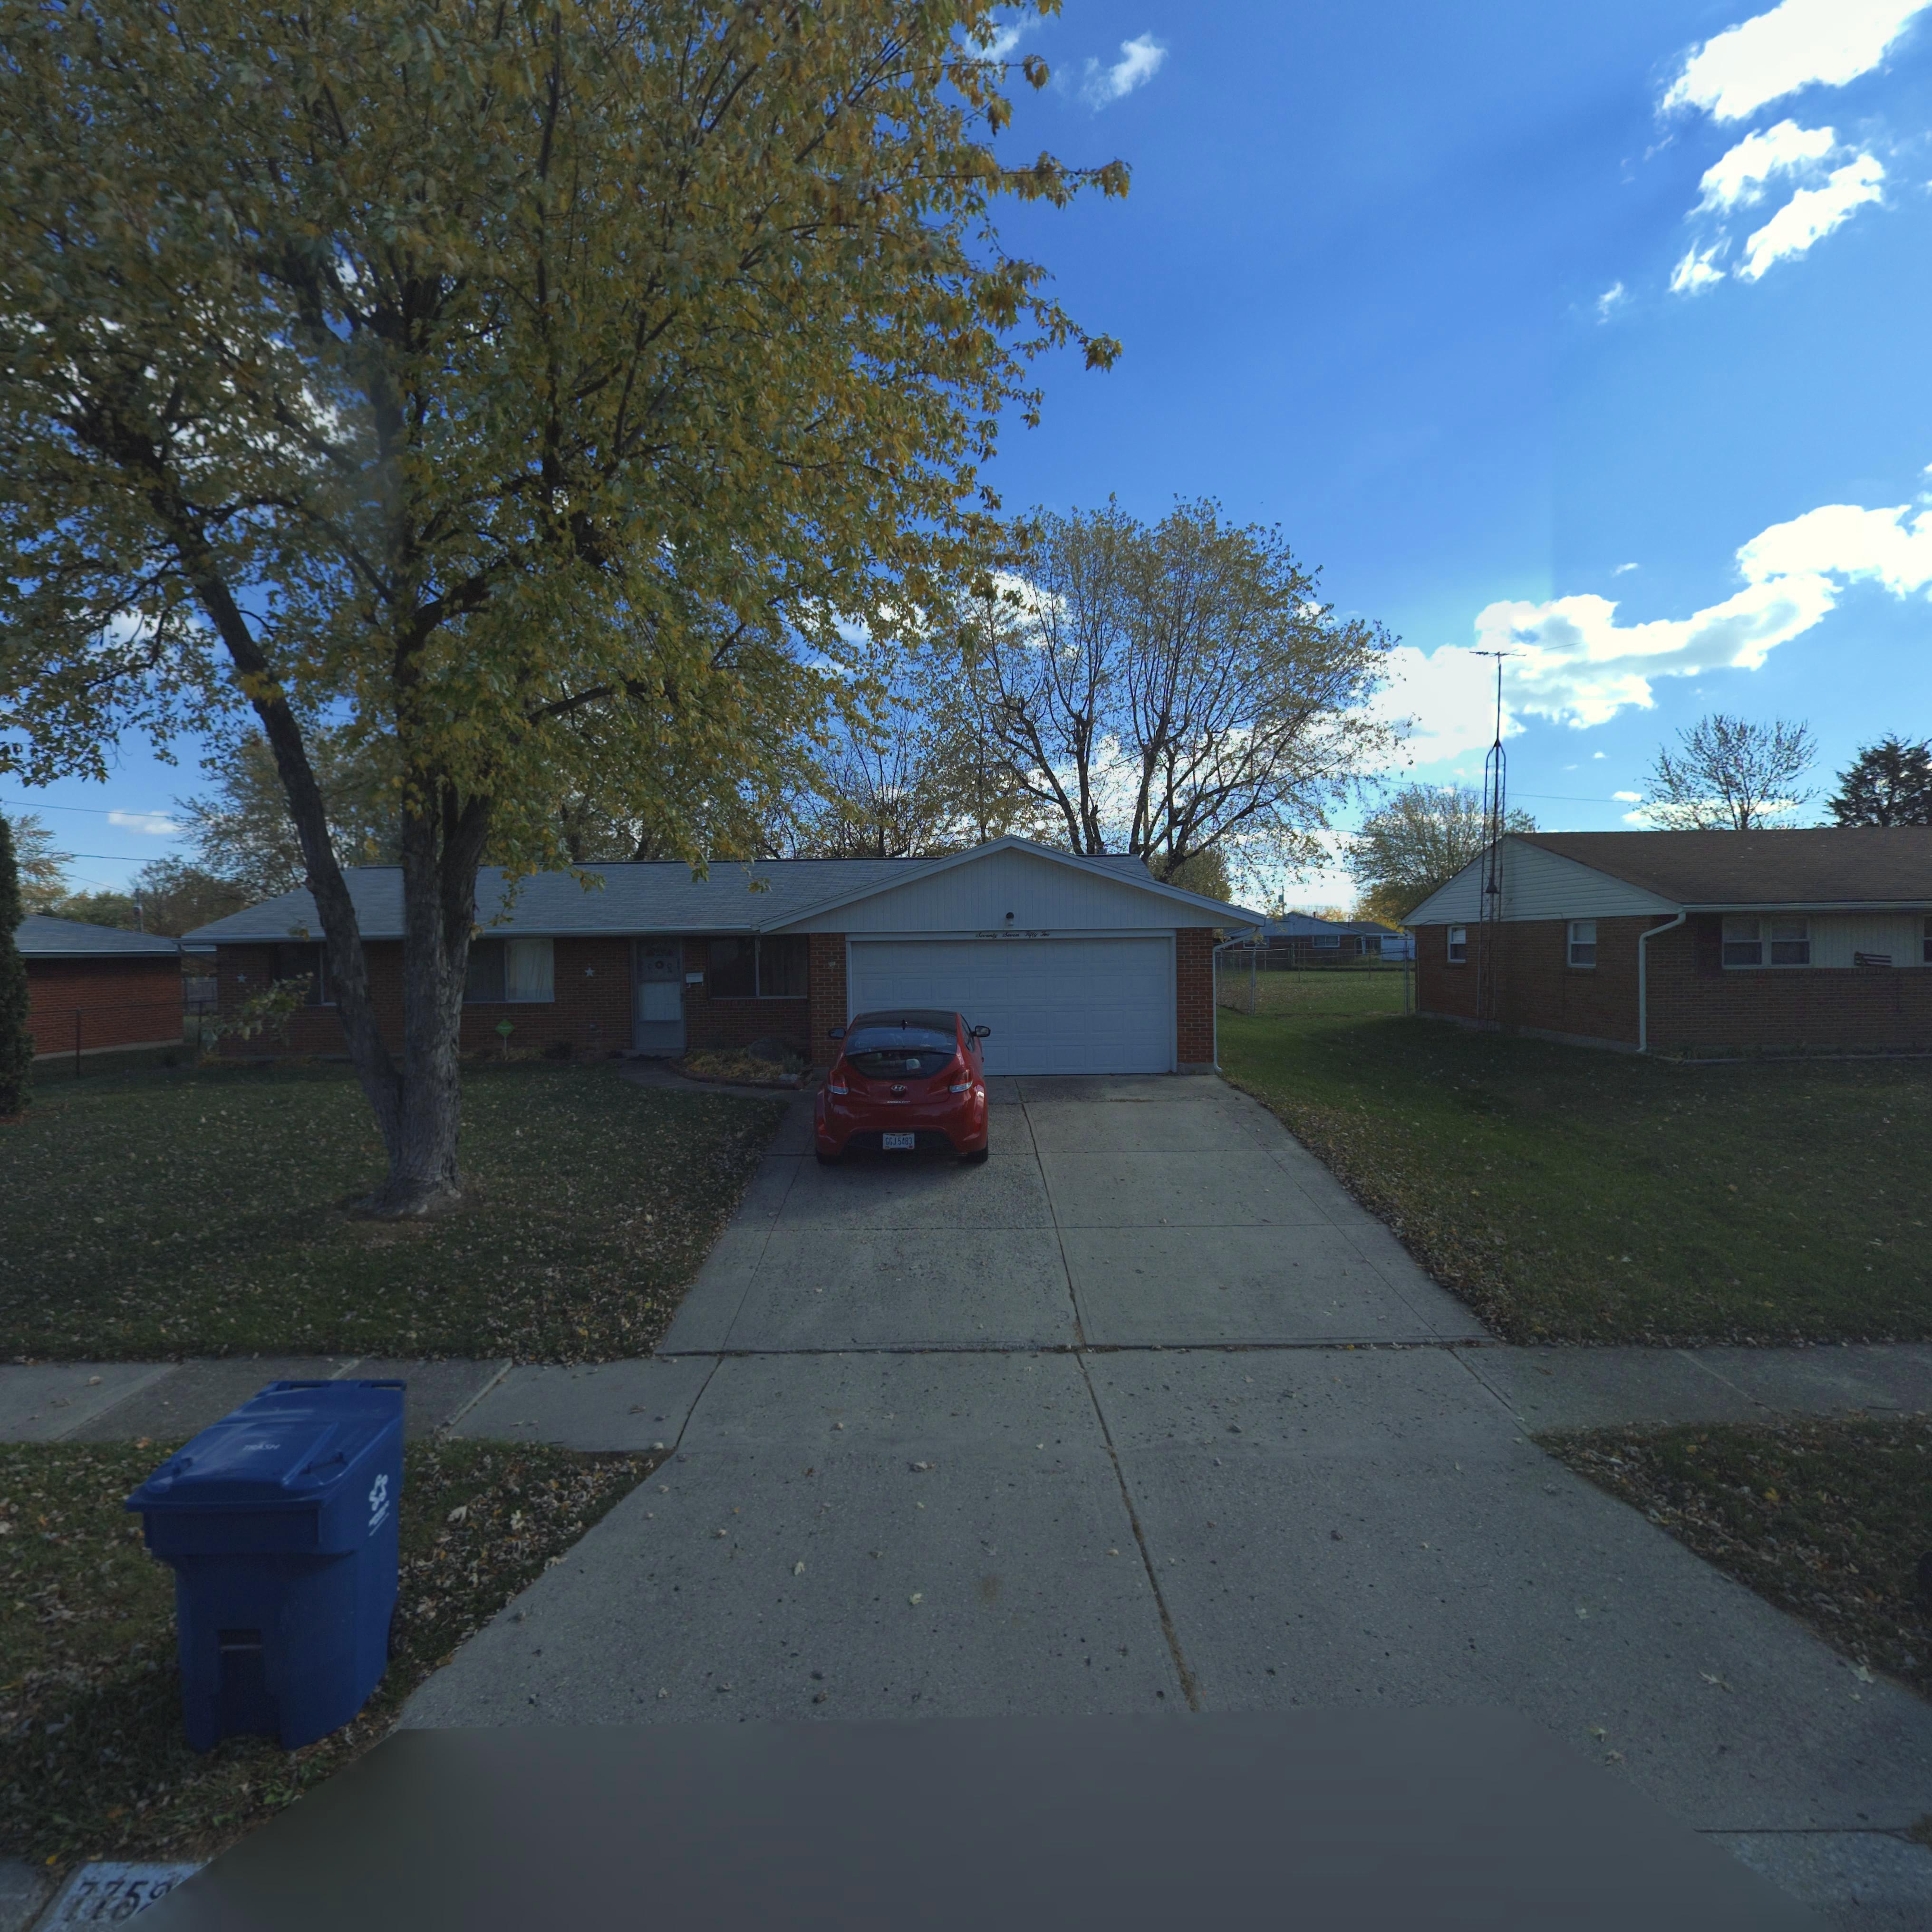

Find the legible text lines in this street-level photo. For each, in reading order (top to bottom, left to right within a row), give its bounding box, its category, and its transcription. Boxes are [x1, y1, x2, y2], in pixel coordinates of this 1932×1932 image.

[58, 1878, 154, 1925] StreetNumber: 775